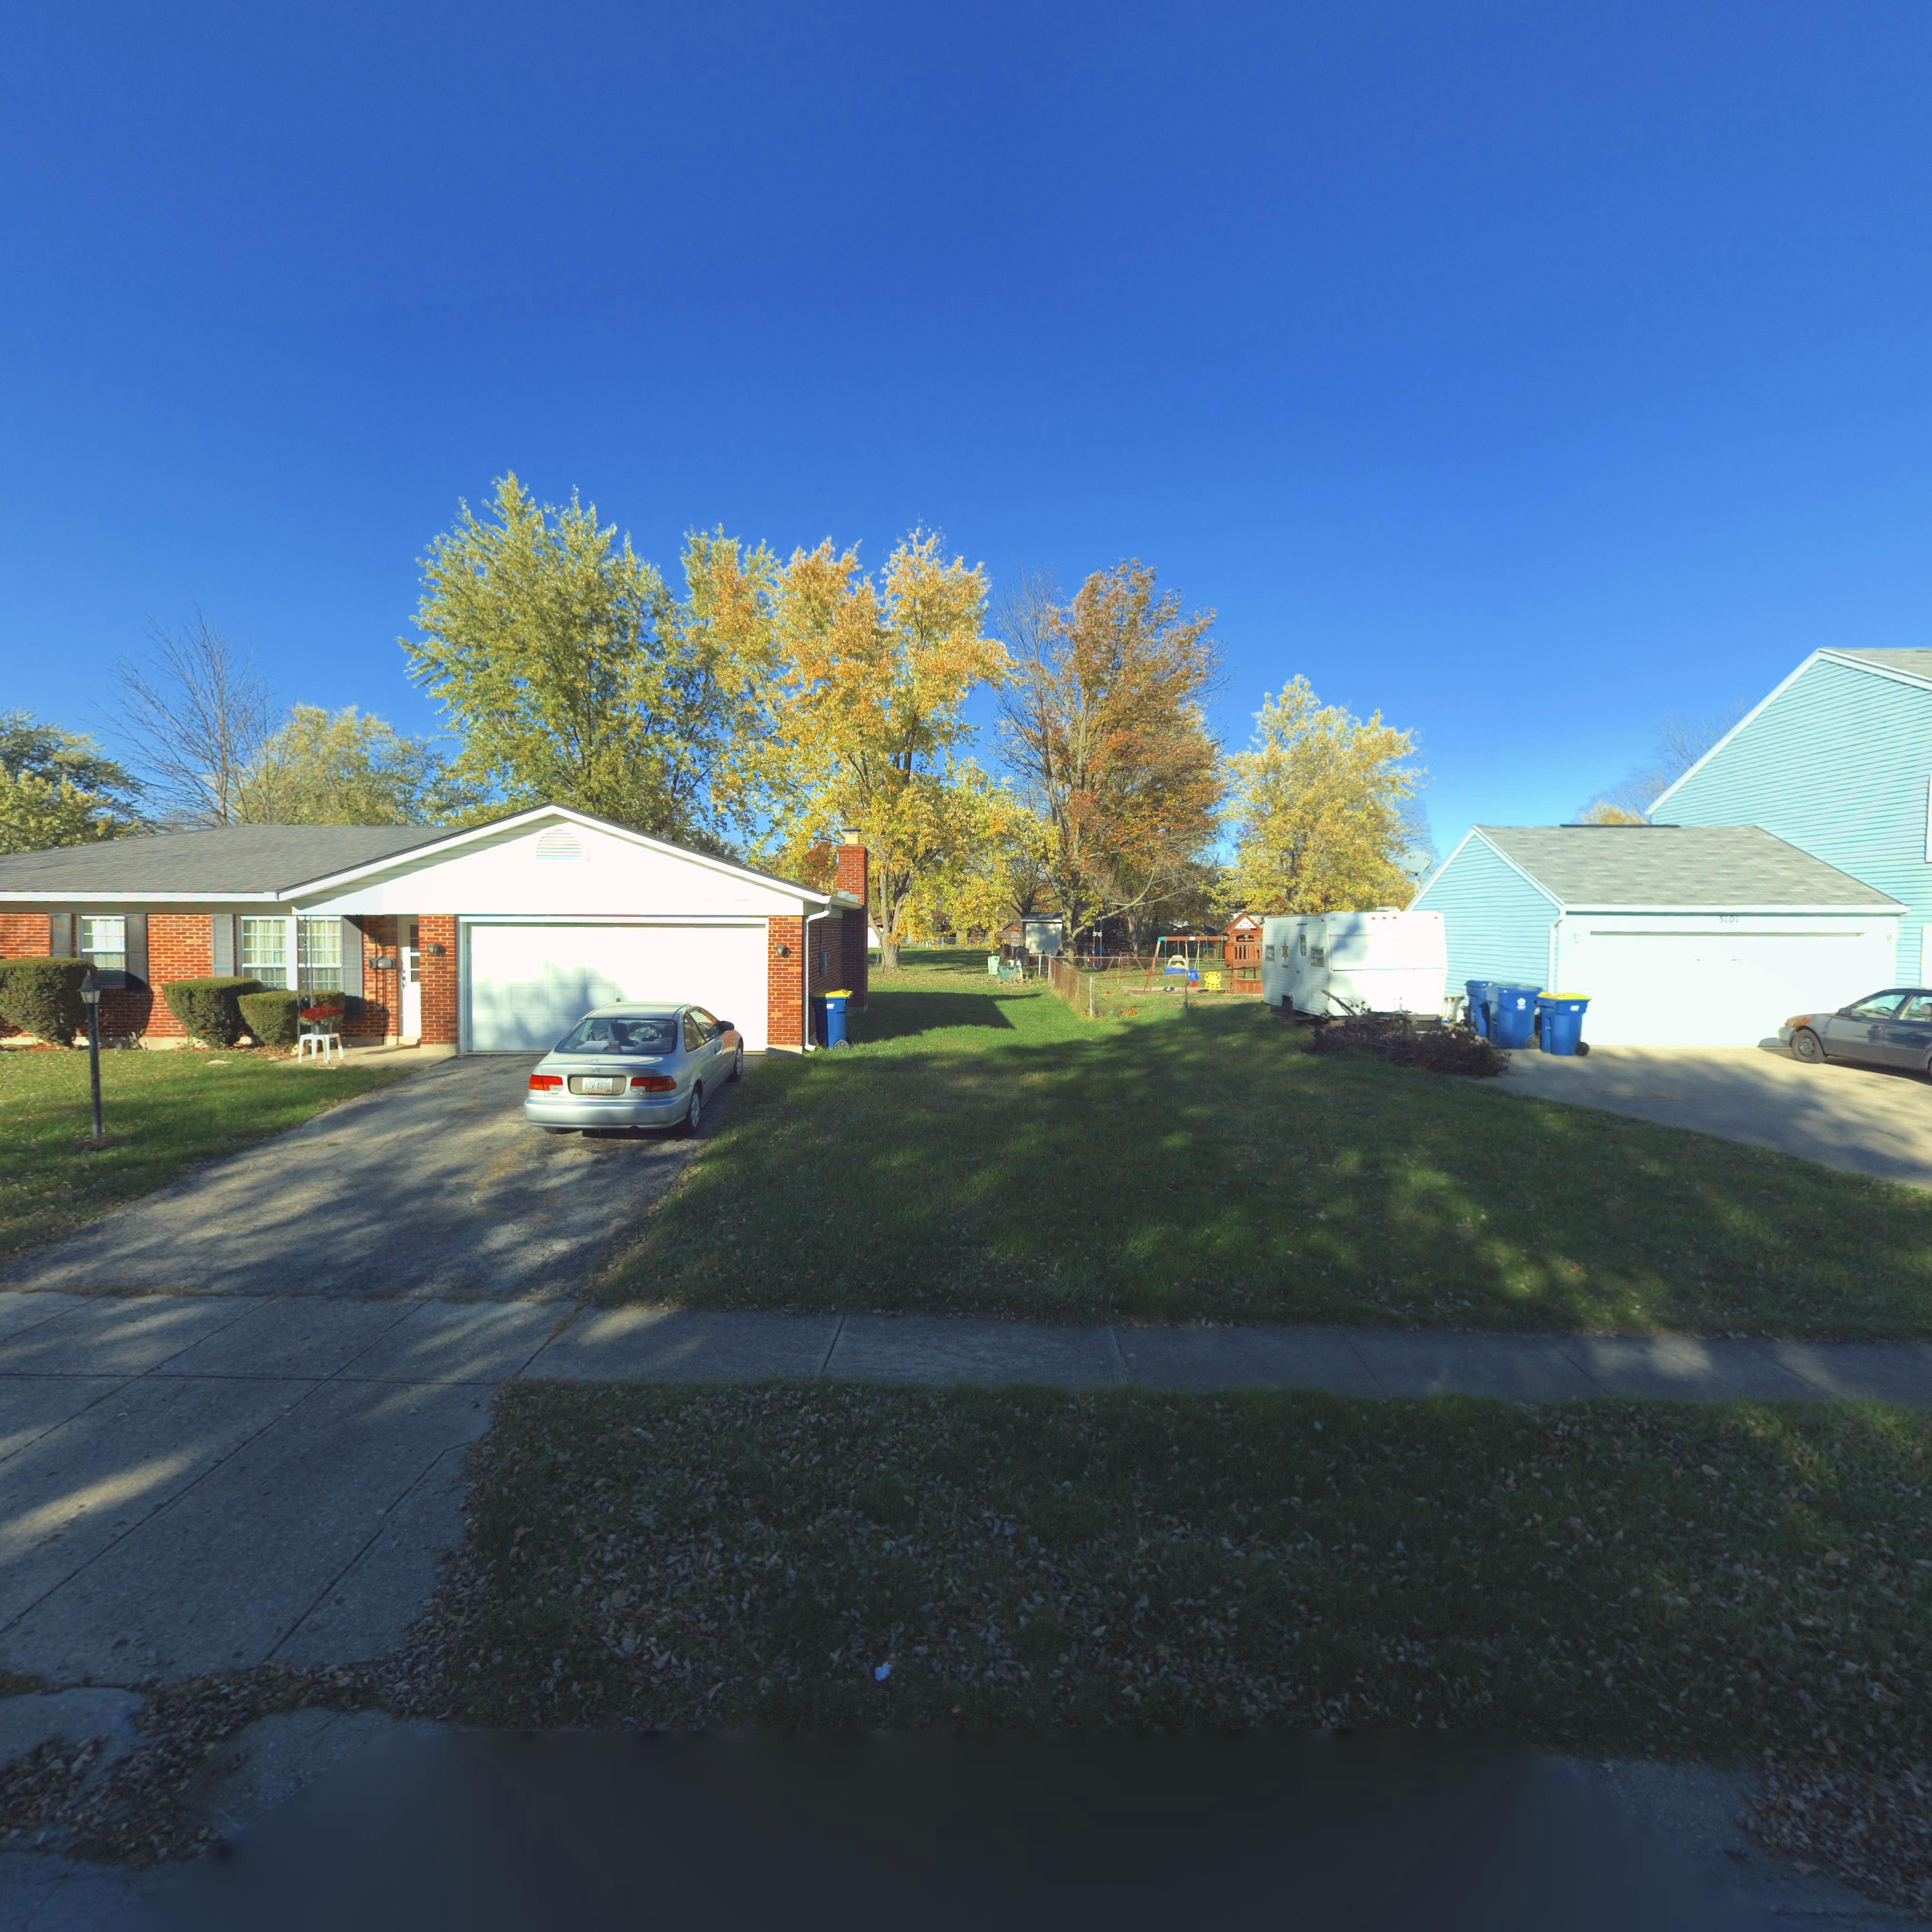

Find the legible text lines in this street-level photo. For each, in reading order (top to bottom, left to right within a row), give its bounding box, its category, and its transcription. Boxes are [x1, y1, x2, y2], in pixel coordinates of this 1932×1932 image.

[1718, 914, 1739, 924] StreetNumber: 5101